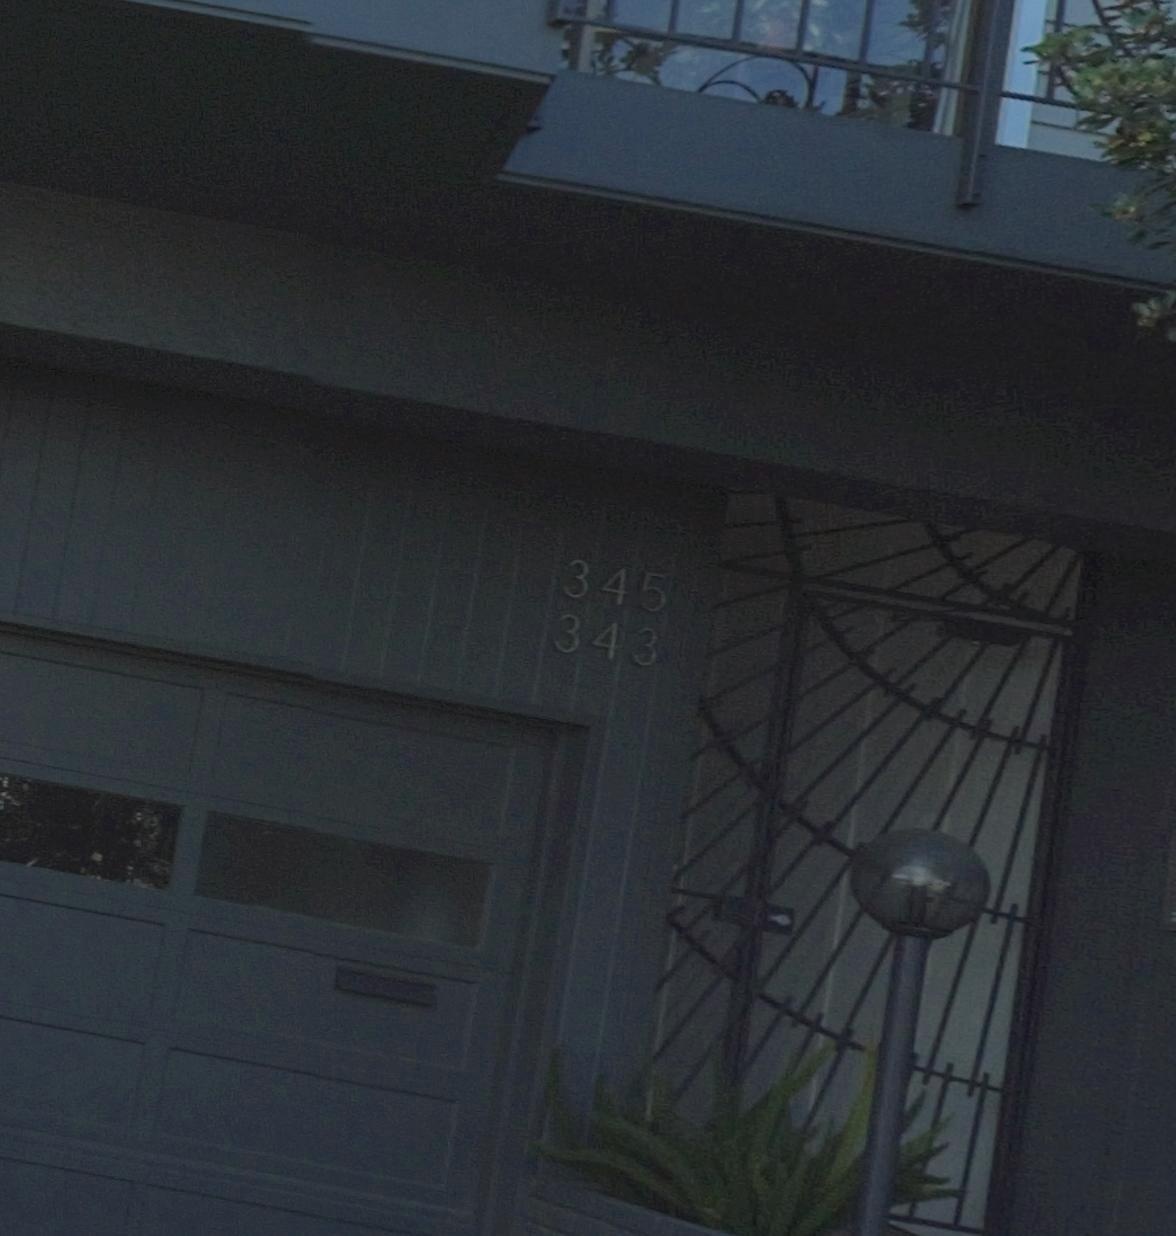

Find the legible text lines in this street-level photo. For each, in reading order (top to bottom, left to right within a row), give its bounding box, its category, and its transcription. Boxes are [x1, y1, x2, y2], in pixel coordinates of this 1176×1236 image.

[561, 556, 674, 615] StreetNumber: 345
[550, 610, 660, 670] StreetNumber: 343